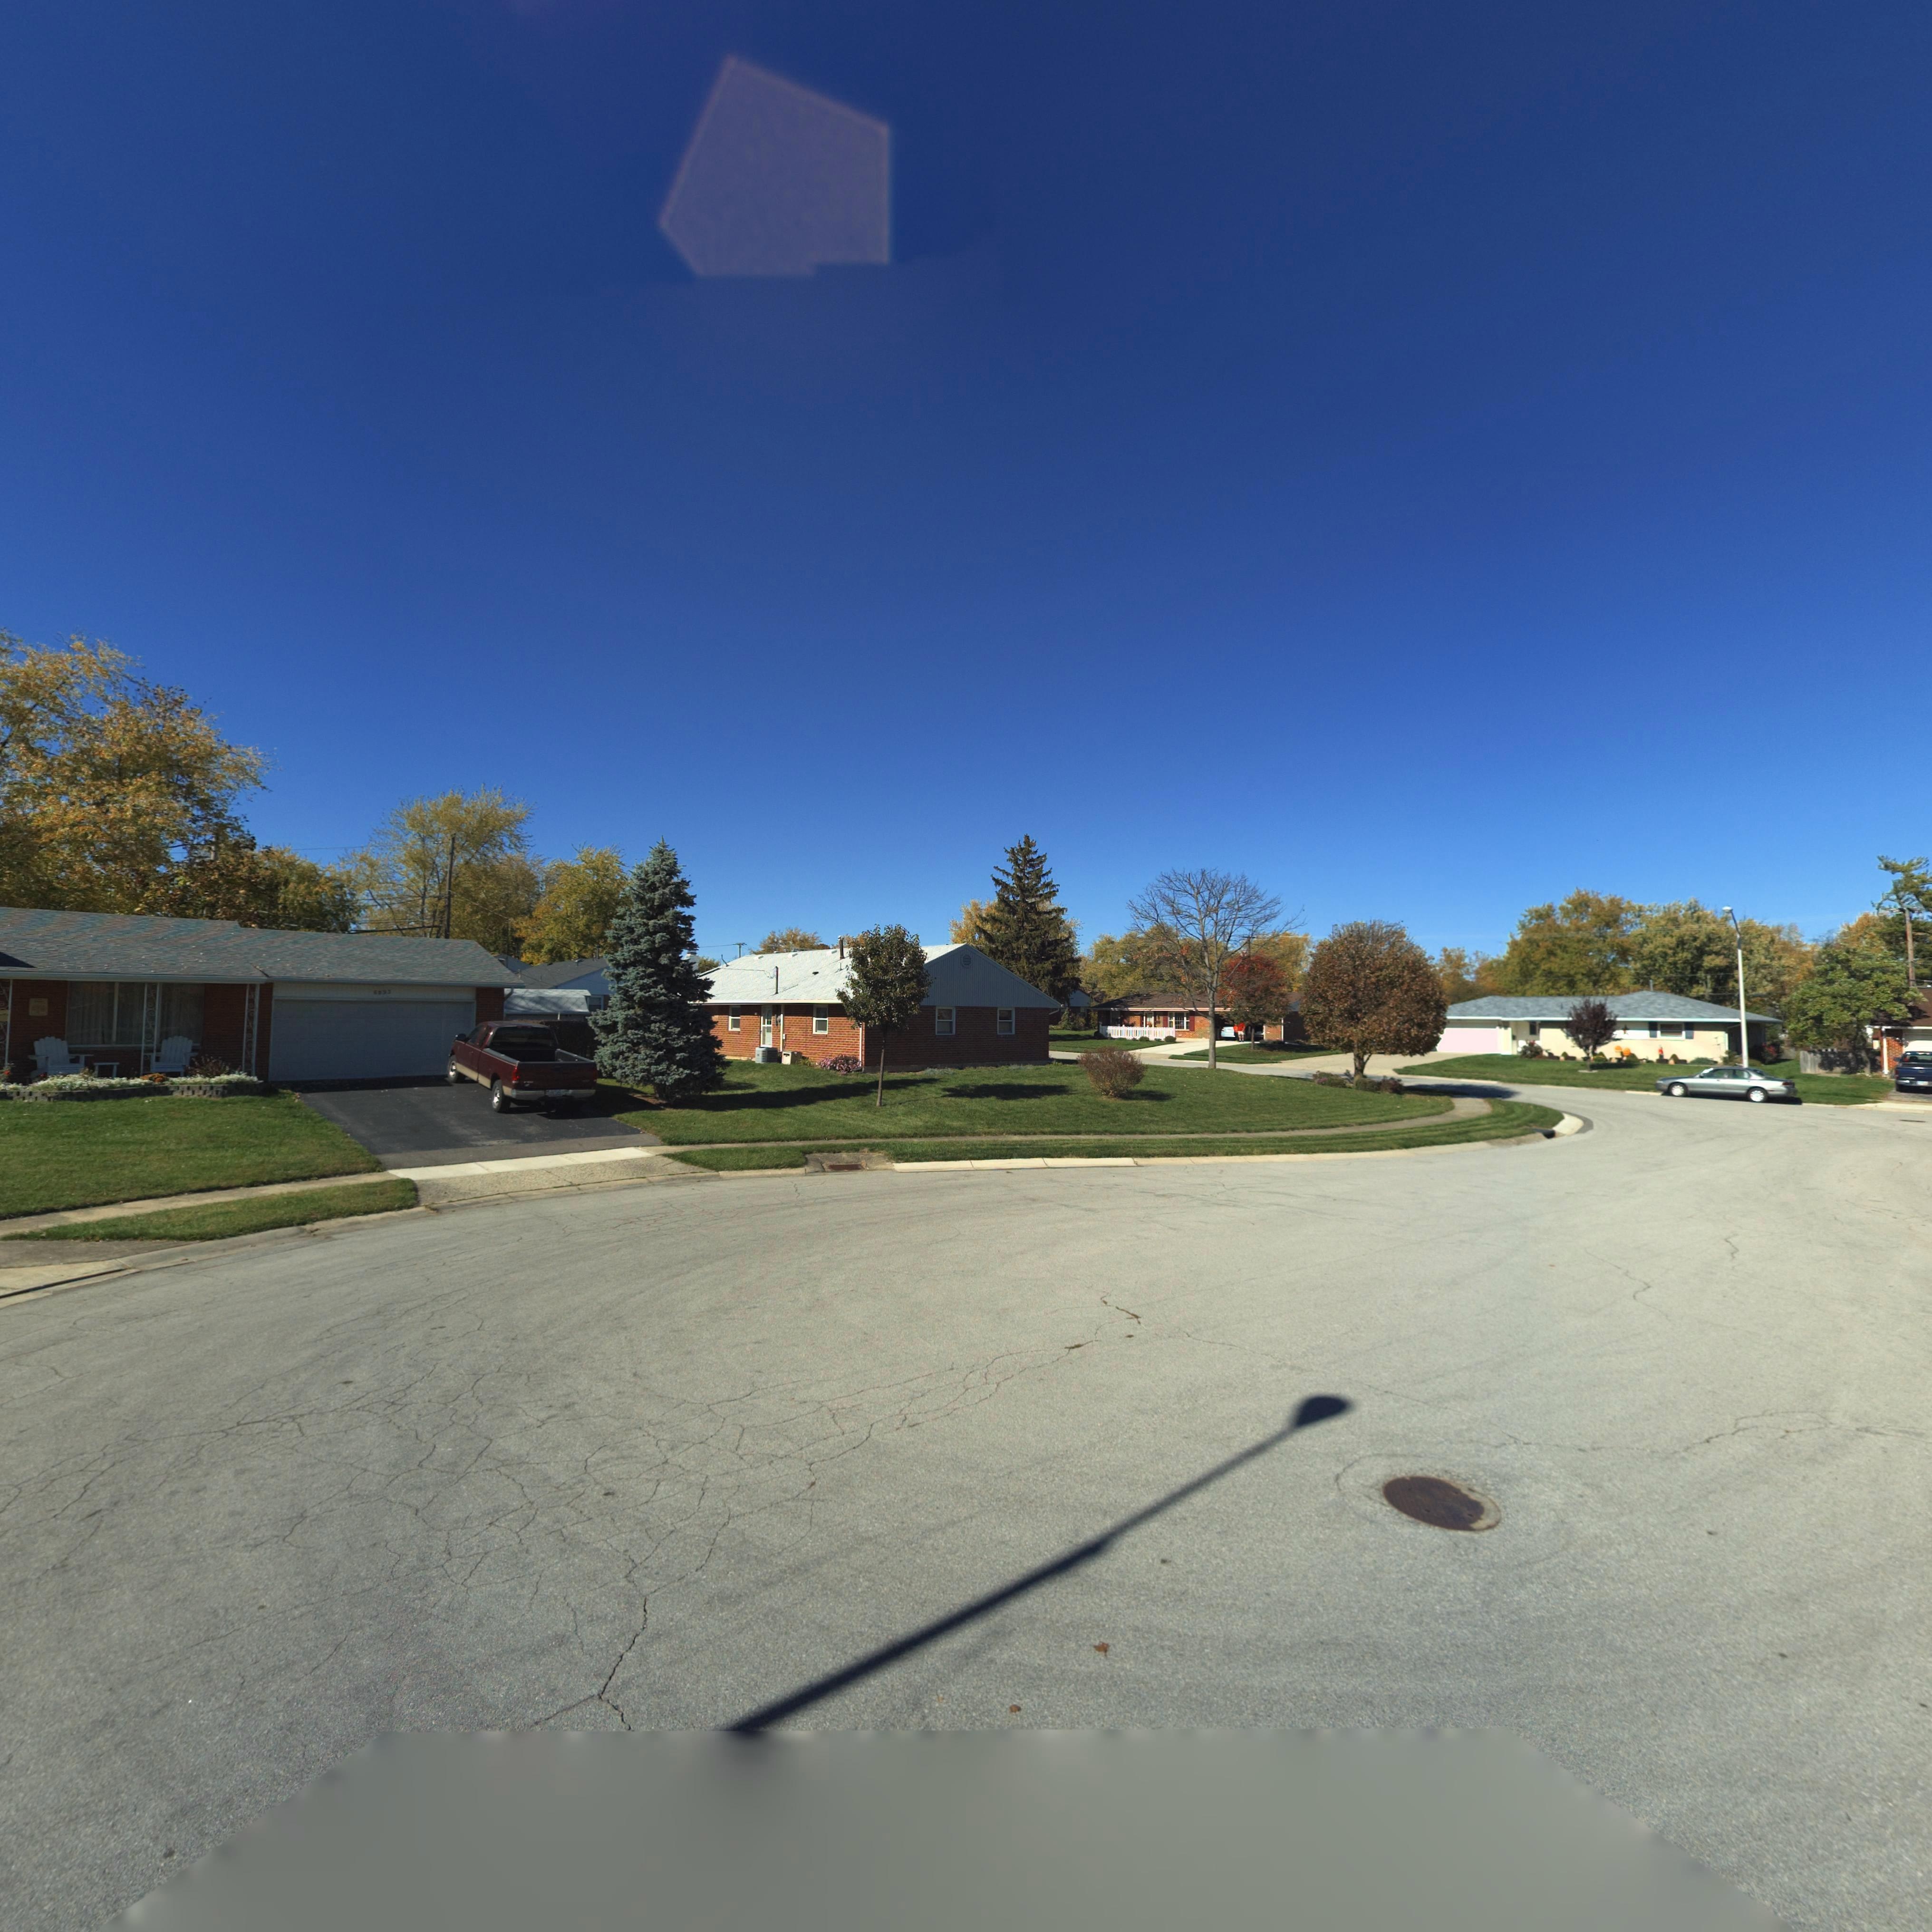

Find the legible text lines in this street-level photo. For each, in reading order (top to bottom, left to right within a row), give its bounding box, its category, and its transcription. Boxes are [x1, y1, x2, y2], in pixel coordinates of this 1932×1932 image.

[372, 989, 391, 995] StreetNumber: 60*3